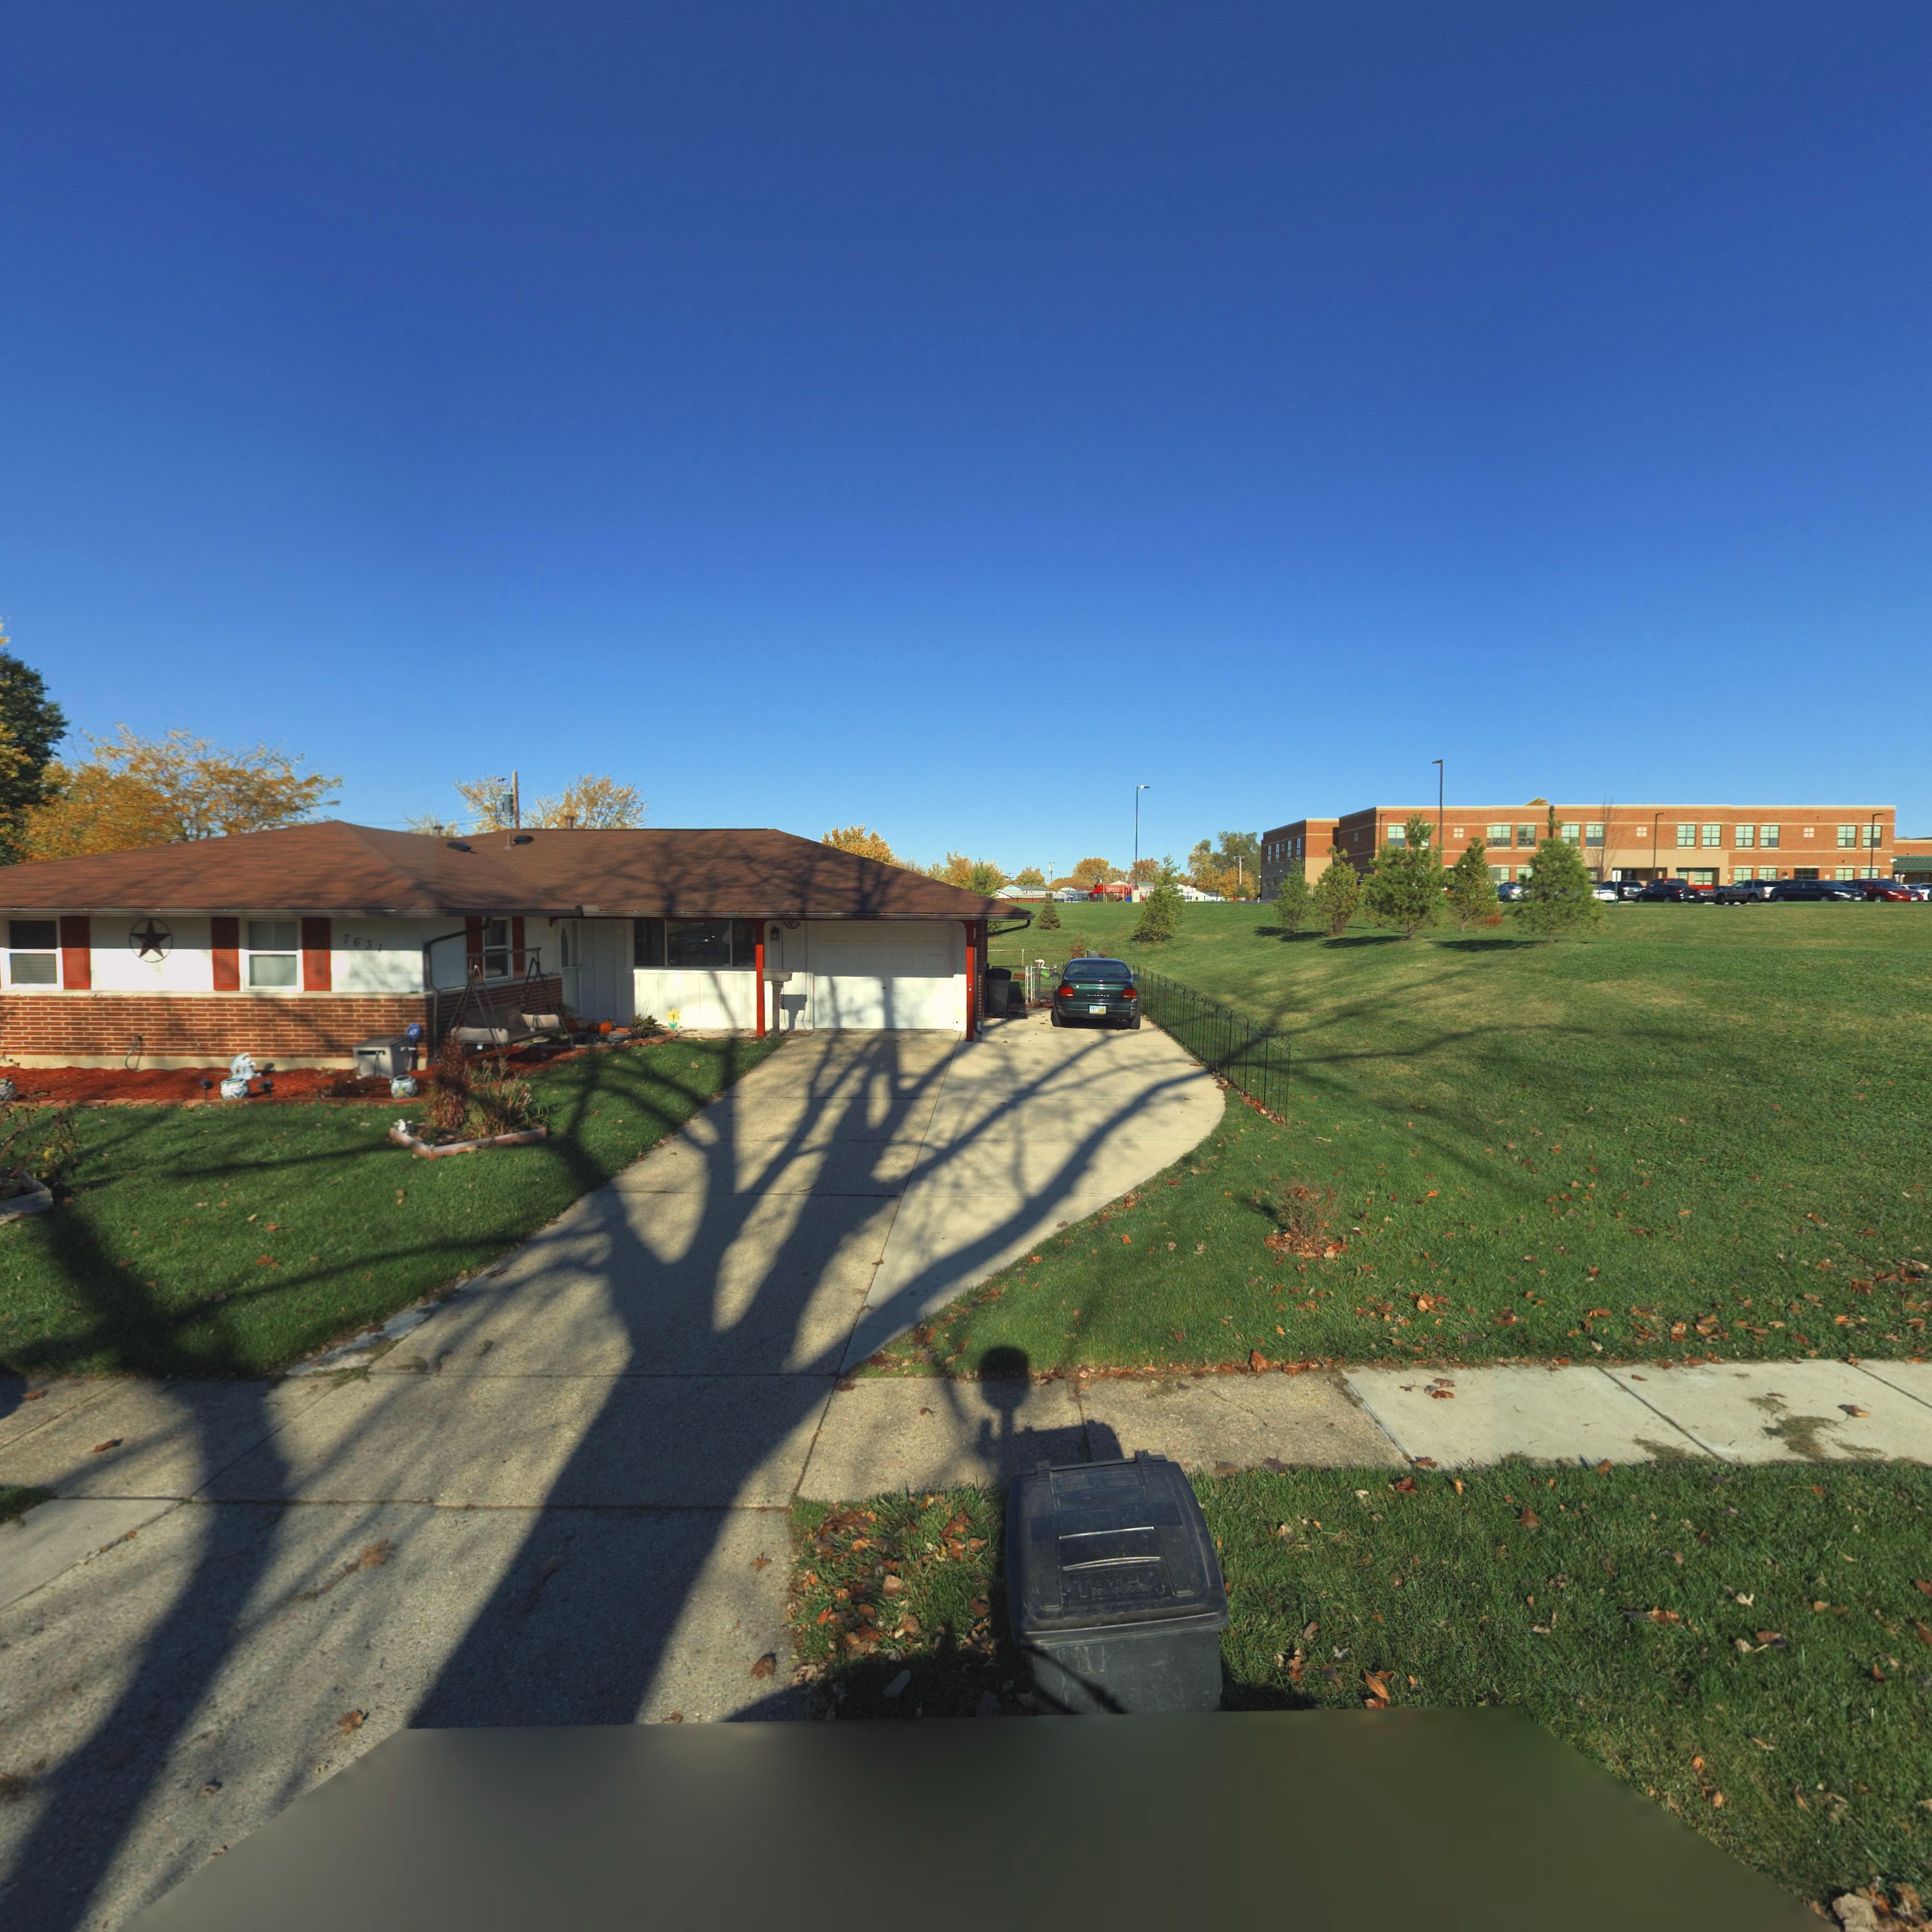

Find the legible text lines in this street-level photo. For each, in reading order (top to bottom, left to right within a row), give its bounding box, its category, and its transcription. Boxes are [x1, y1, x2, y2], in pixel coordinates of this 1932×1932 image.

[342, 933, 384, 954] StreetNumber: 7631